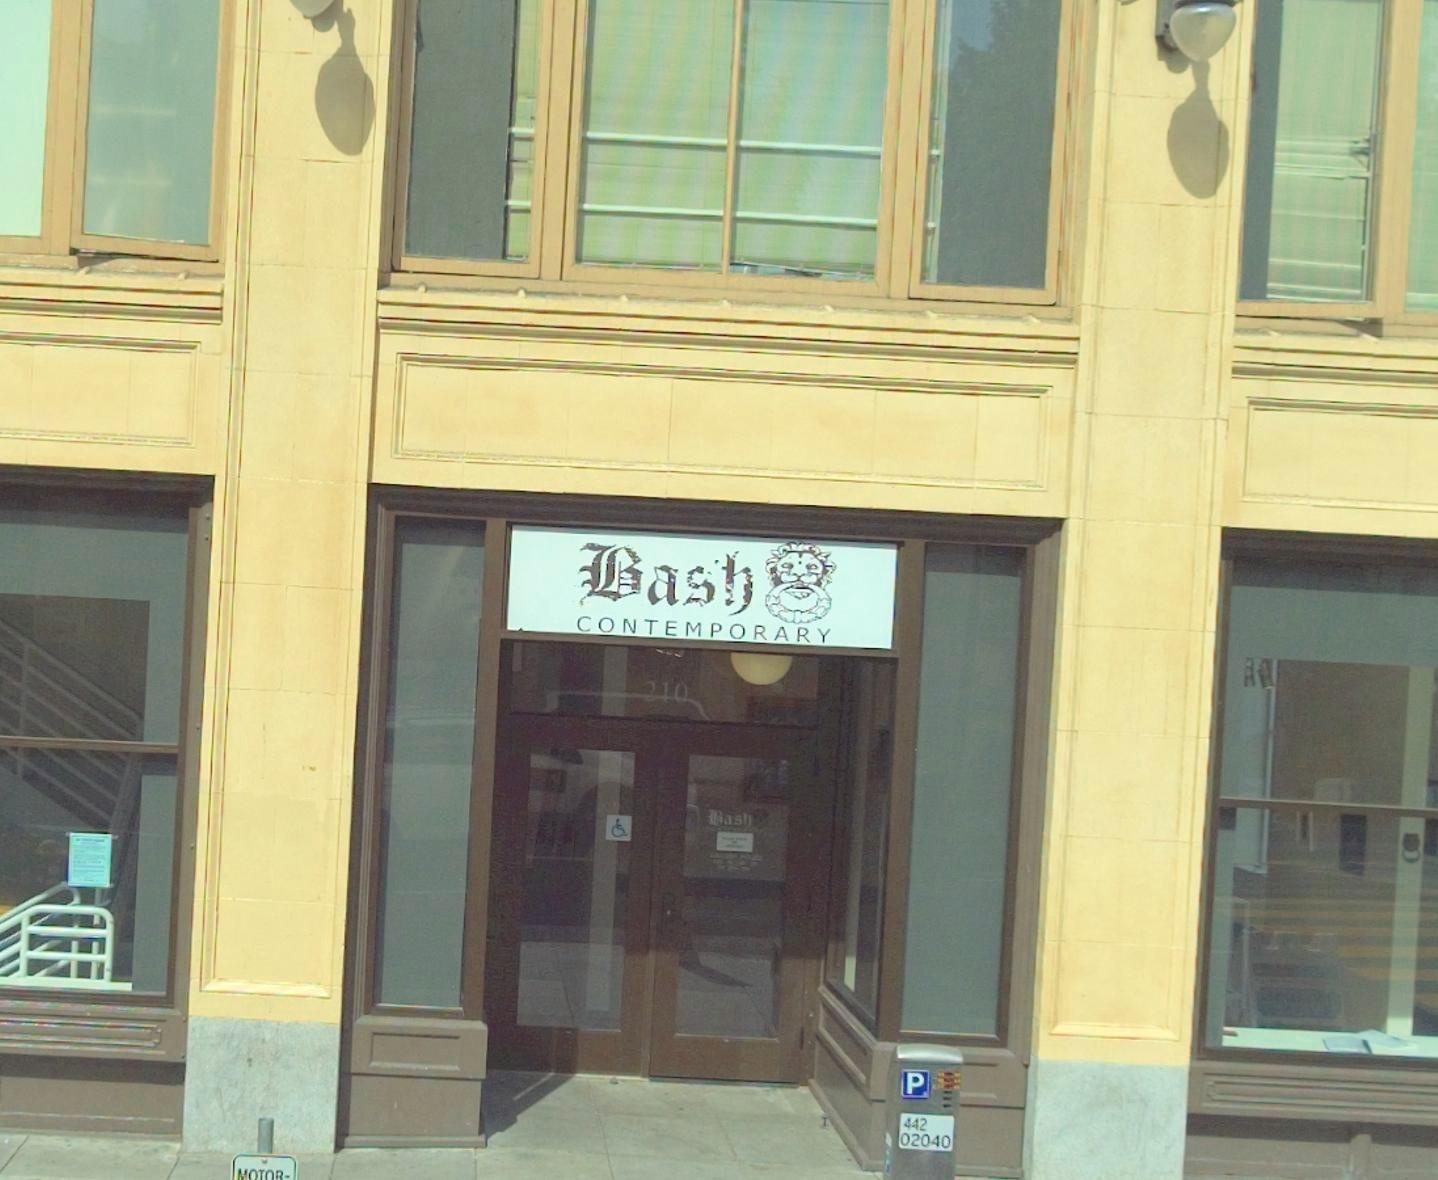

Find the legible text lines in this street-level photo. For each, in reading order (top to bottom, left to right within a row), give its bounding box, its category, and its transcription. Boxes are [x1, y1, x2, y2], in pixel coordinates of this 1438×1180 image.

[576, 538, 756, 619] BusinessName: Bash
[575, 614, 834, 646] None: CONTEMPORARY
[642, 678, 689, 706] StreetNumber: 210
[707, 806, 754, 831] BusinessName: Bash
[905, 1069, 927, 1097] None: P
[899, 1115, 928, 1134] None: 442
[899, 1132, 952, 1151] None: 02040